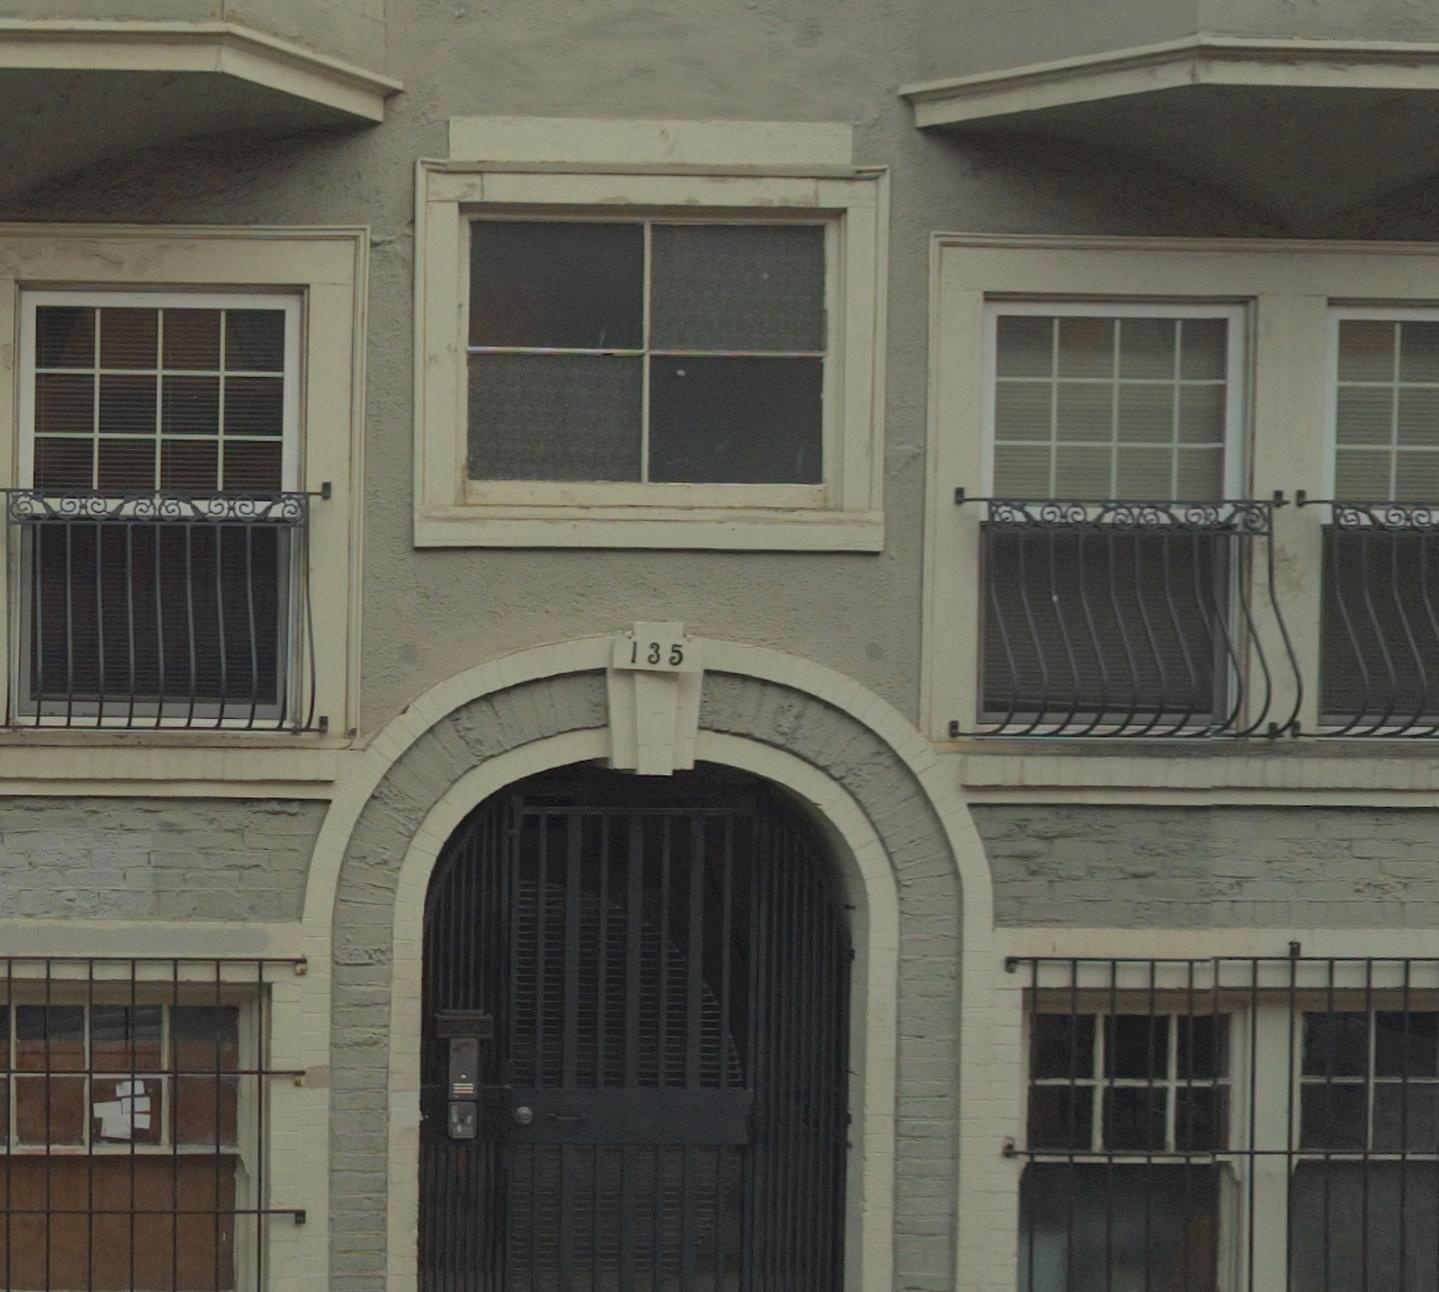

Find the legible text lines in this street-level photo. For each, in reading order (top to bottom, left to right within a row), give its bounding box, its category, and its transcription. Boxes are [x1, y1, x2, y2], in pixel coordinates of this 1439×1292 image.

[628, 639, 686, 667] StreetNumber: 135